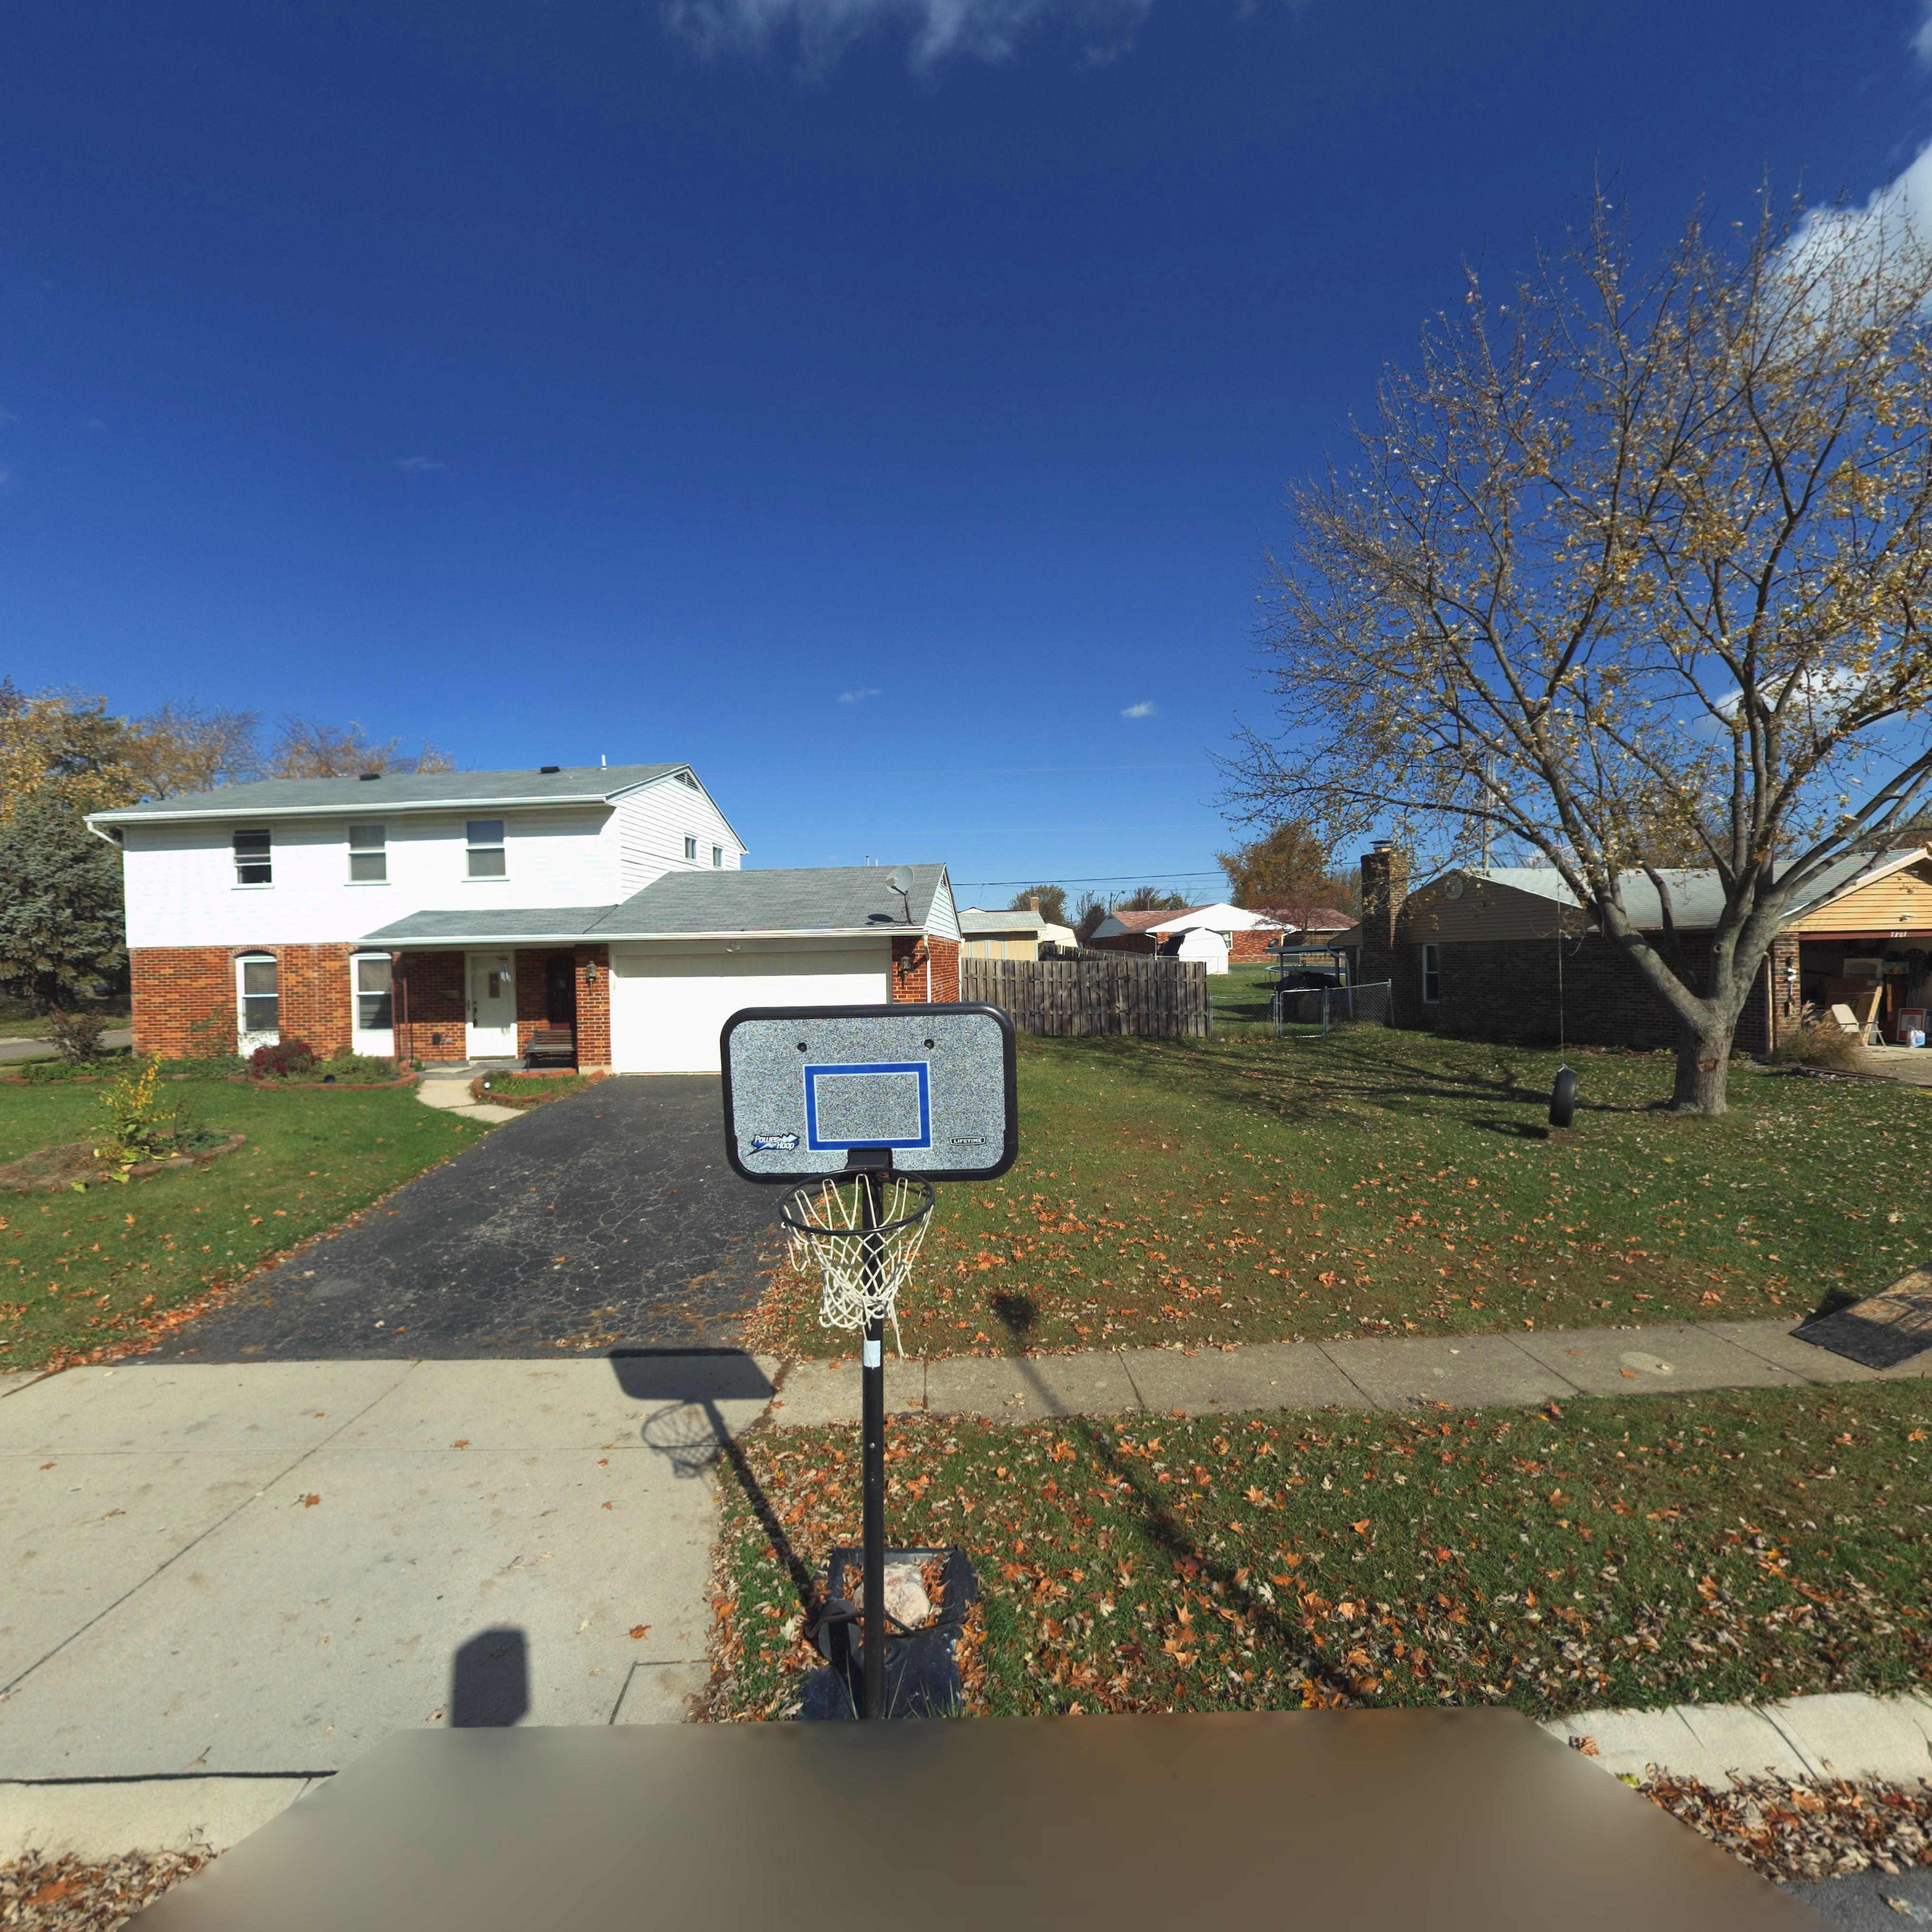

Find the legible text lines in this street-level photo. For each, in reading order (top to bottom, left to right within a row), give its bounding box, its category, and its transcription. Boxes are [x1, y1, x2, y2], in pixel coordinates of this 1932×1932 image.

[551, 991, 573, 1000] StreetNumber: ***0